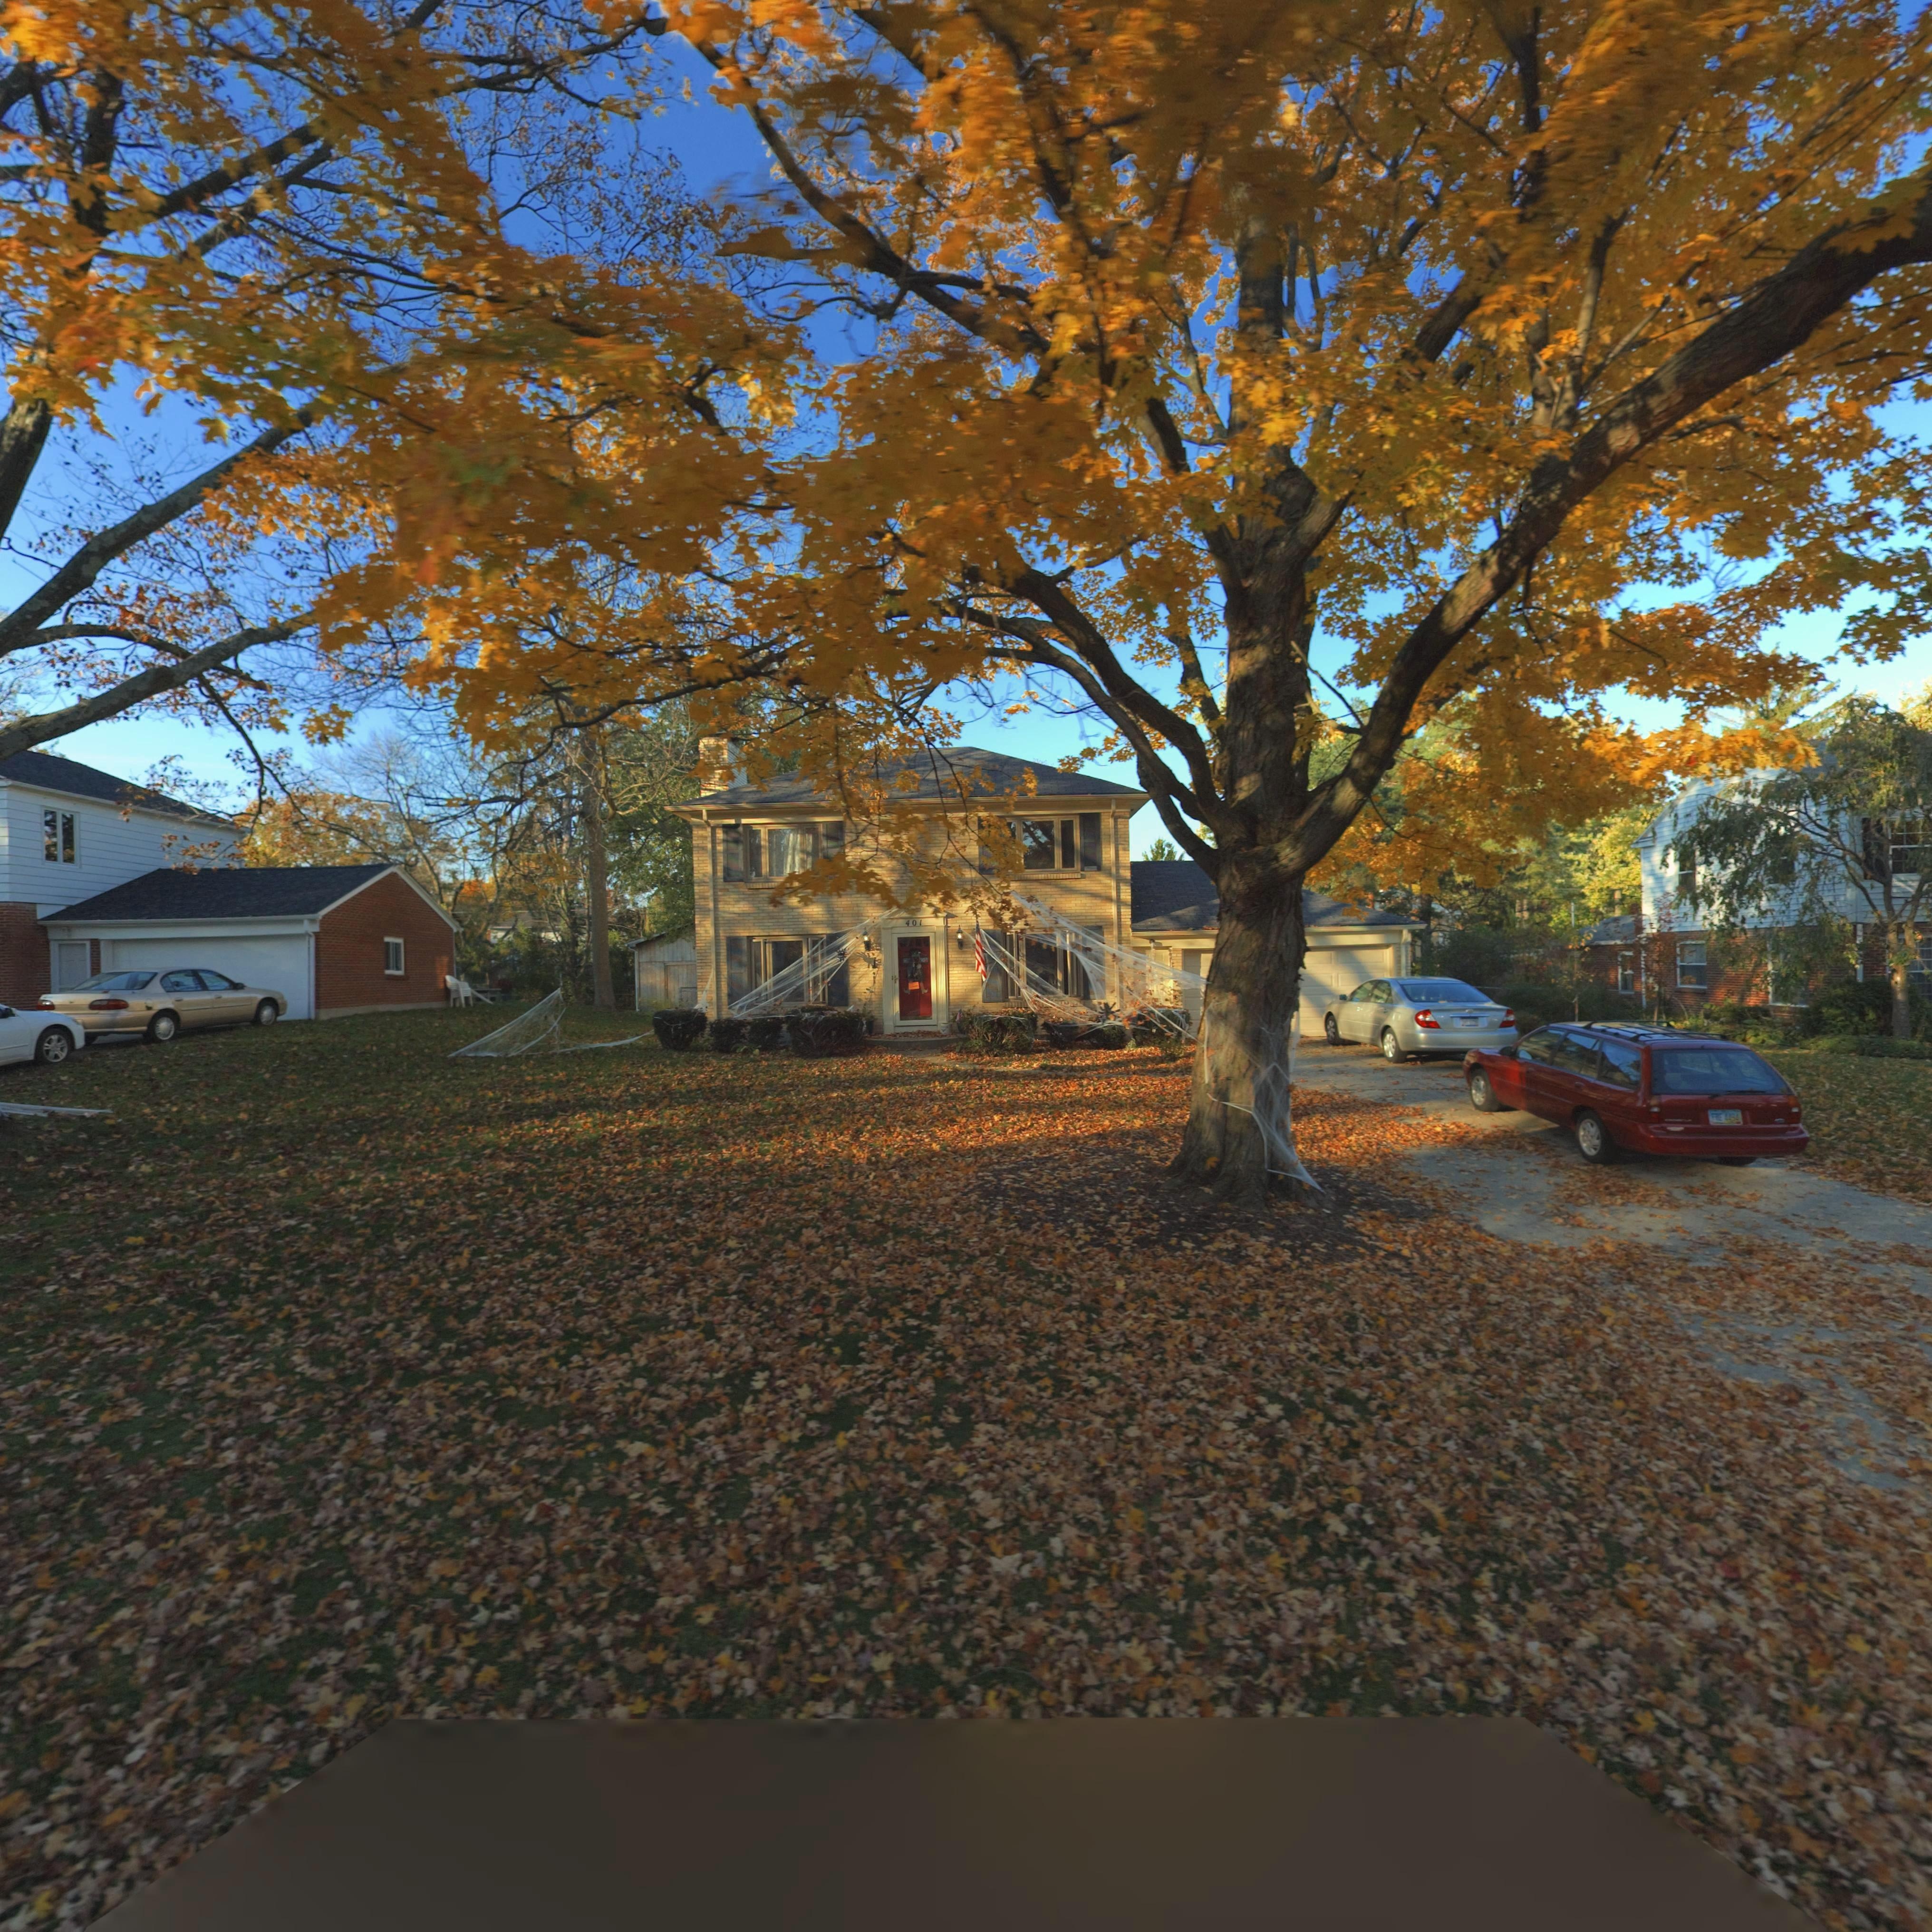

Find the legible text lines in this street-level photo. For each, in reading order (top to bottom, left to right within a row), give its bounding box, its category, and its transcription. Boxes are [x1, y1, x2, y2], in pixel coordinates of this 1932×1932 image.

[904, 918, 923, 927] StreetNumber: 401